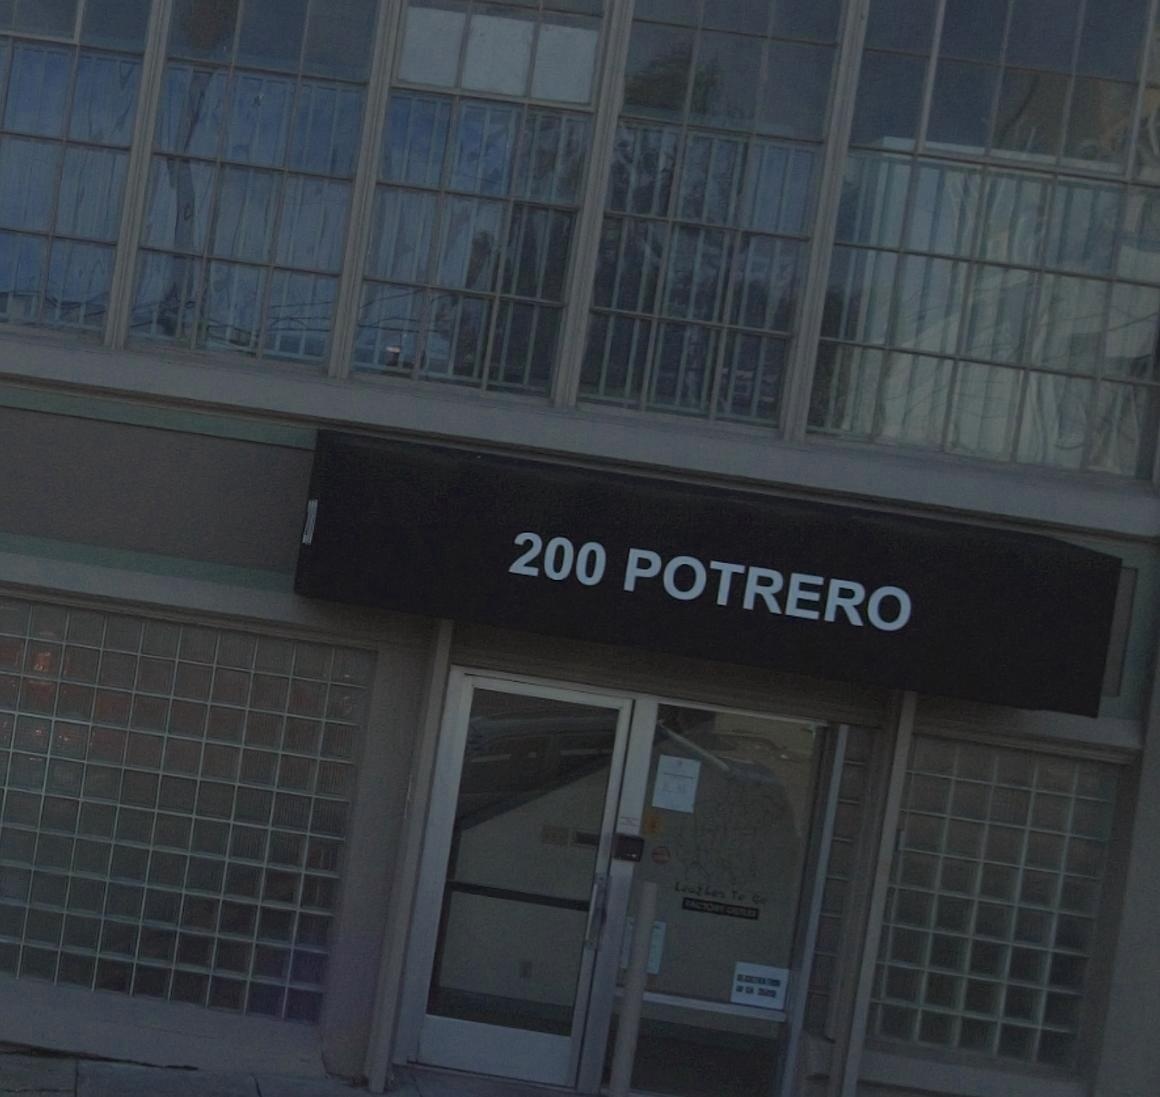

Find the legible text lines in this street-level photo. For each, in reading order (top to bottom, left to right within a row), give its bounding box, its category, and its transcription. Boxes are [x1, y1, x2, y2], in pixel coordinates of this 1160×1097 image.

[503, 525, 612, 592] StreetNumber: 200
[617, 540, 918, 637] StreetName: POTRERO